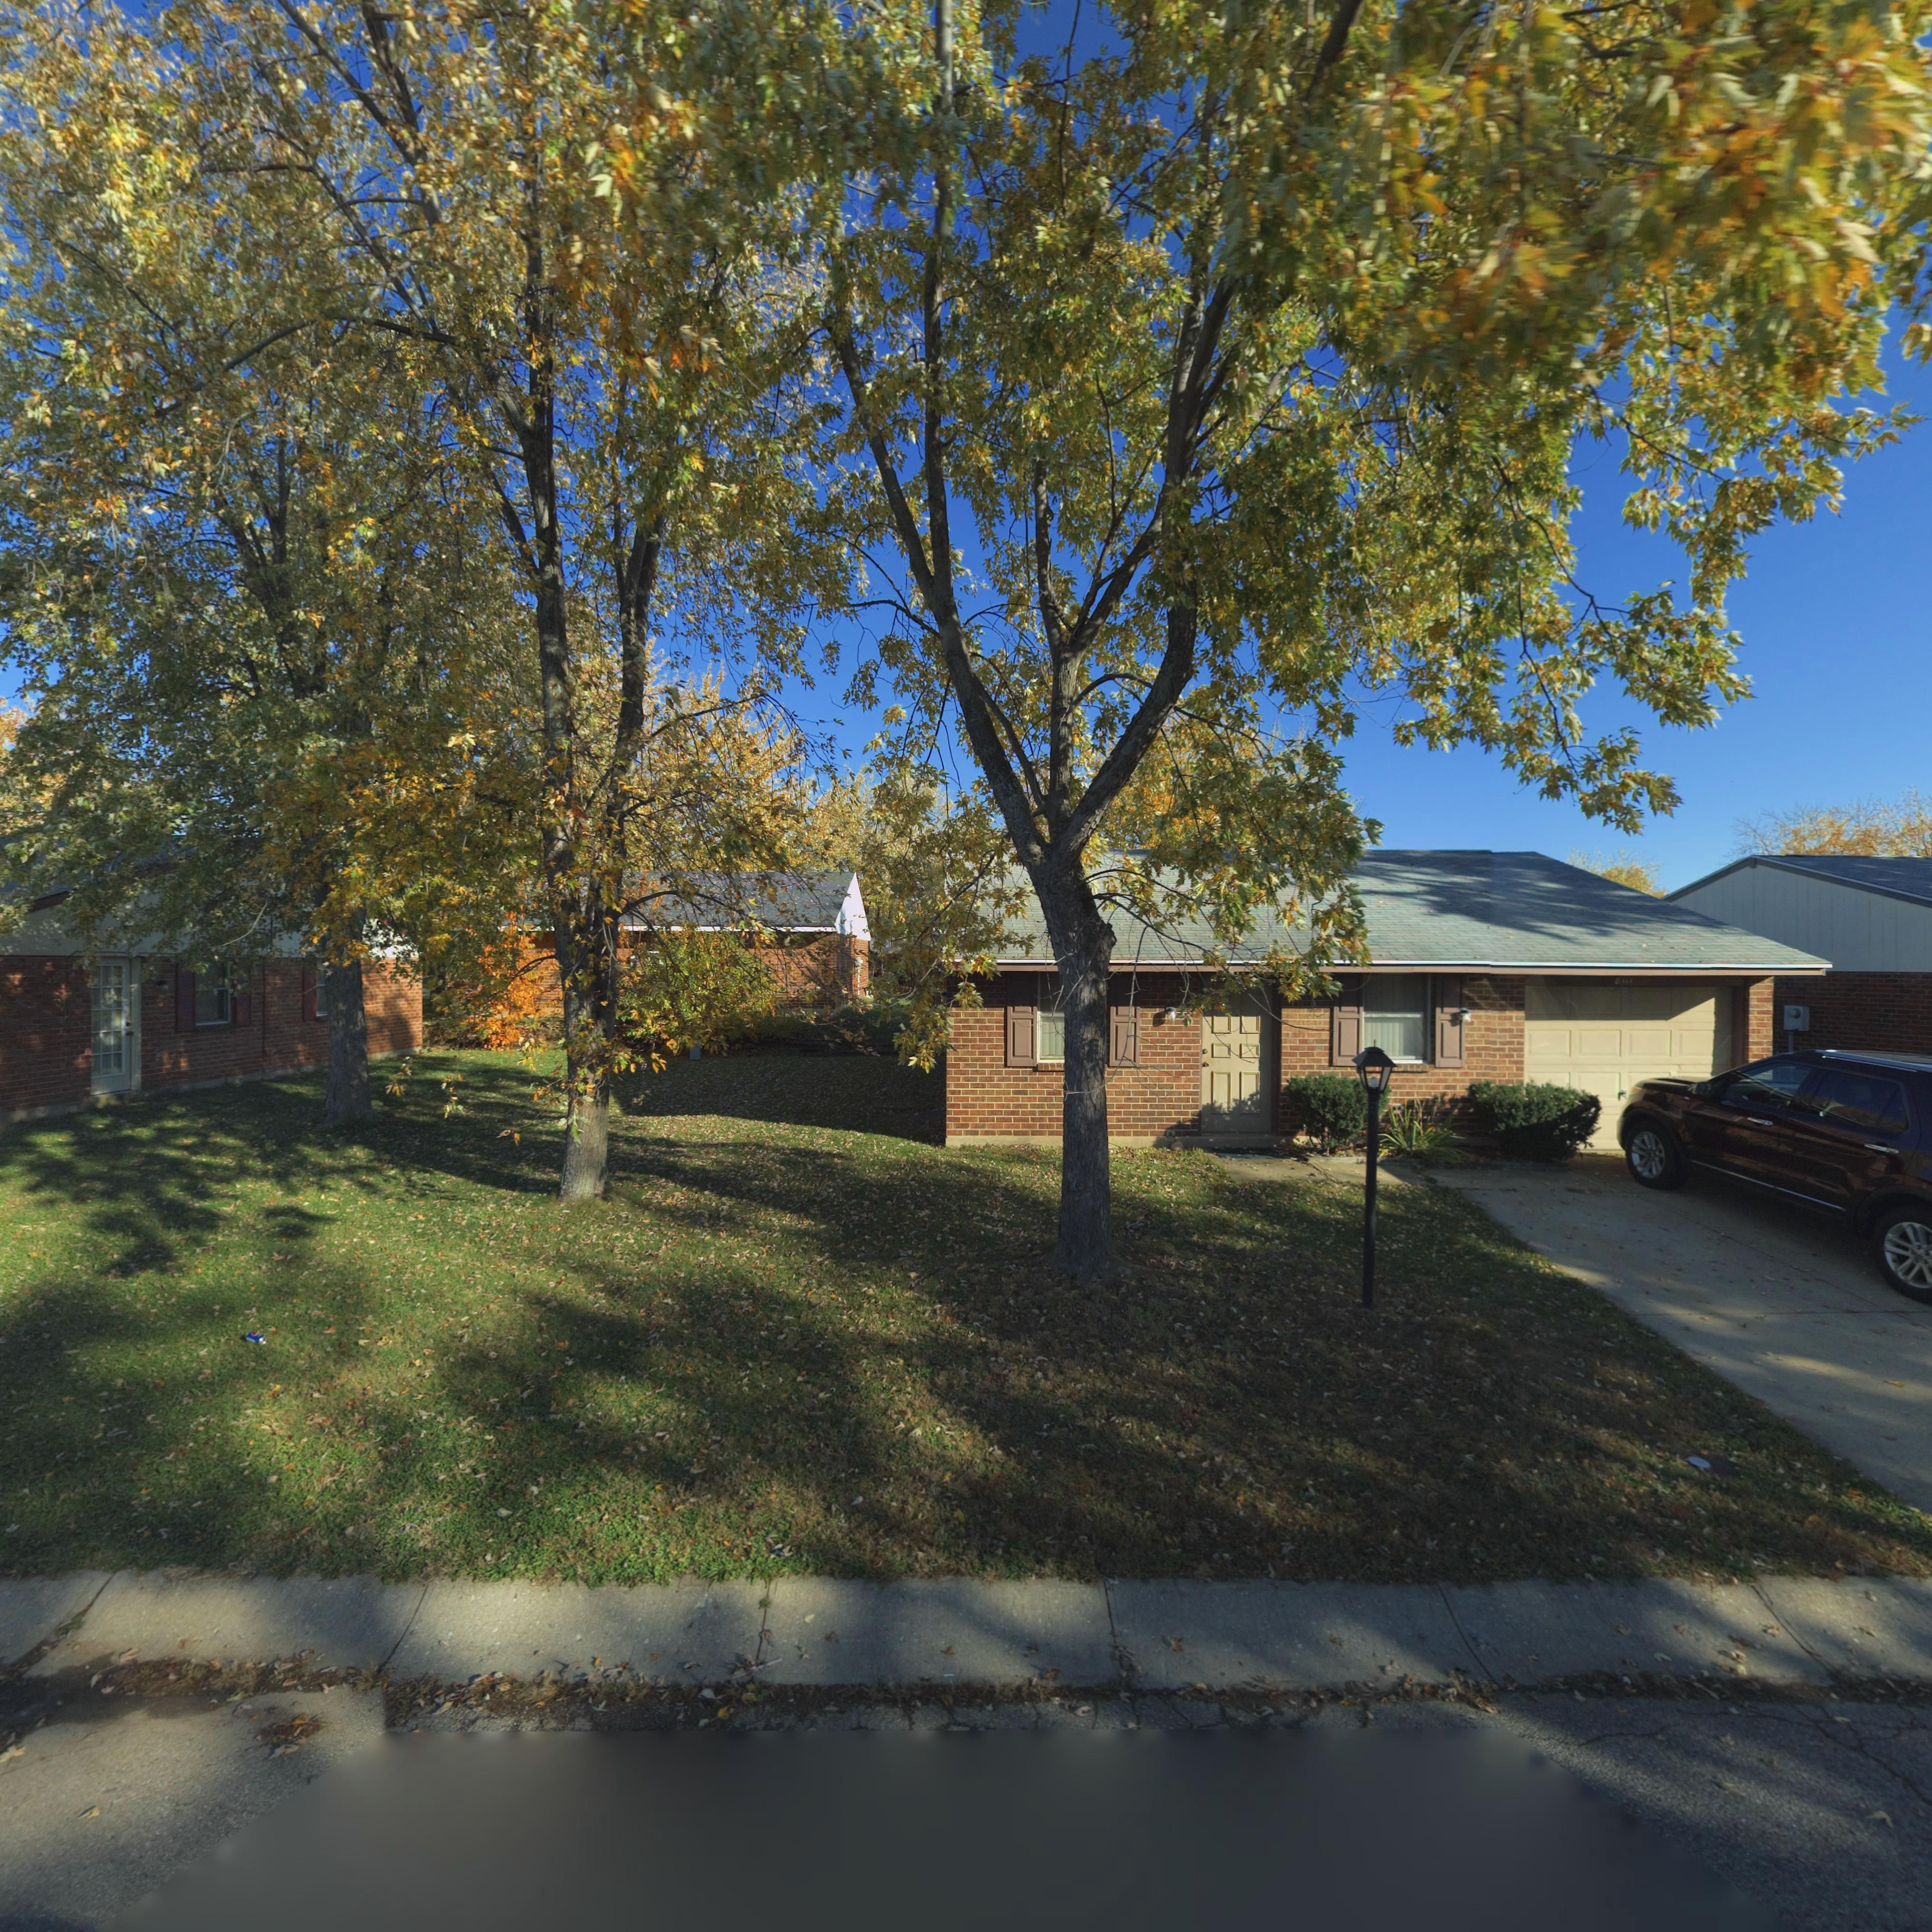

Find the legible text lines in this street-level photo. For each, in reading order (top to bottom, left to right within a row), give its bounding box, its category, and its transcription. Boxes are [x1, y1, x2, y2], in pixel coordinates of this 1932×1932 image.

[1613, 976, 1634, 986] StreetNumber: 8111